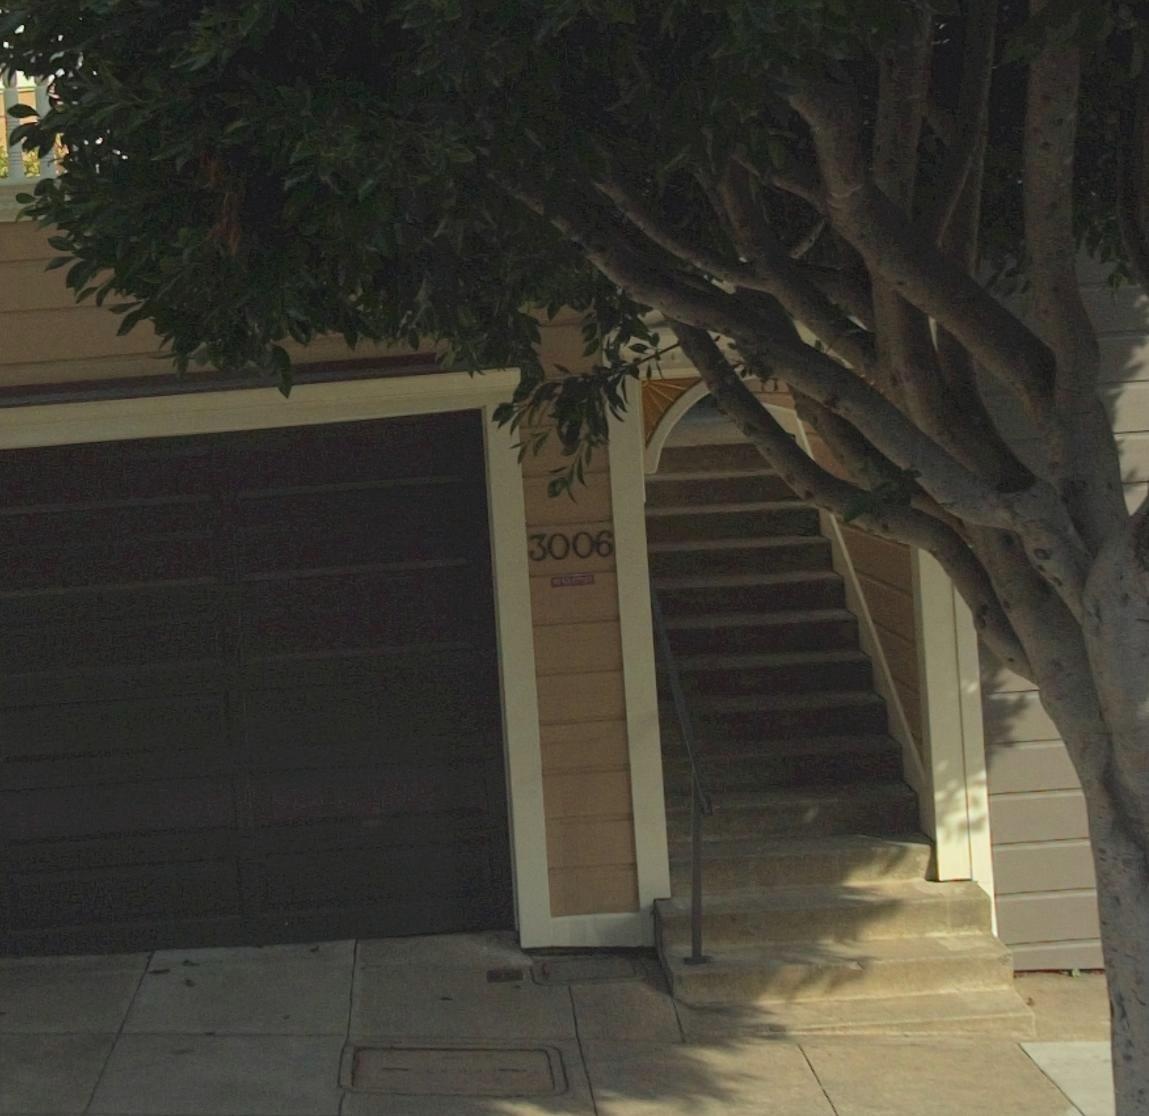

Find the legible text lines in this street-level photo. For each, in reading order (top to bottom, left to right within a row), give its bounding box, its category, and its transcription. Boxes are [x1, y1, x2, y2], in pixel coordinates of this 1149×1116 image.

[526, 527, 617, 564] StreetNumber: 3006